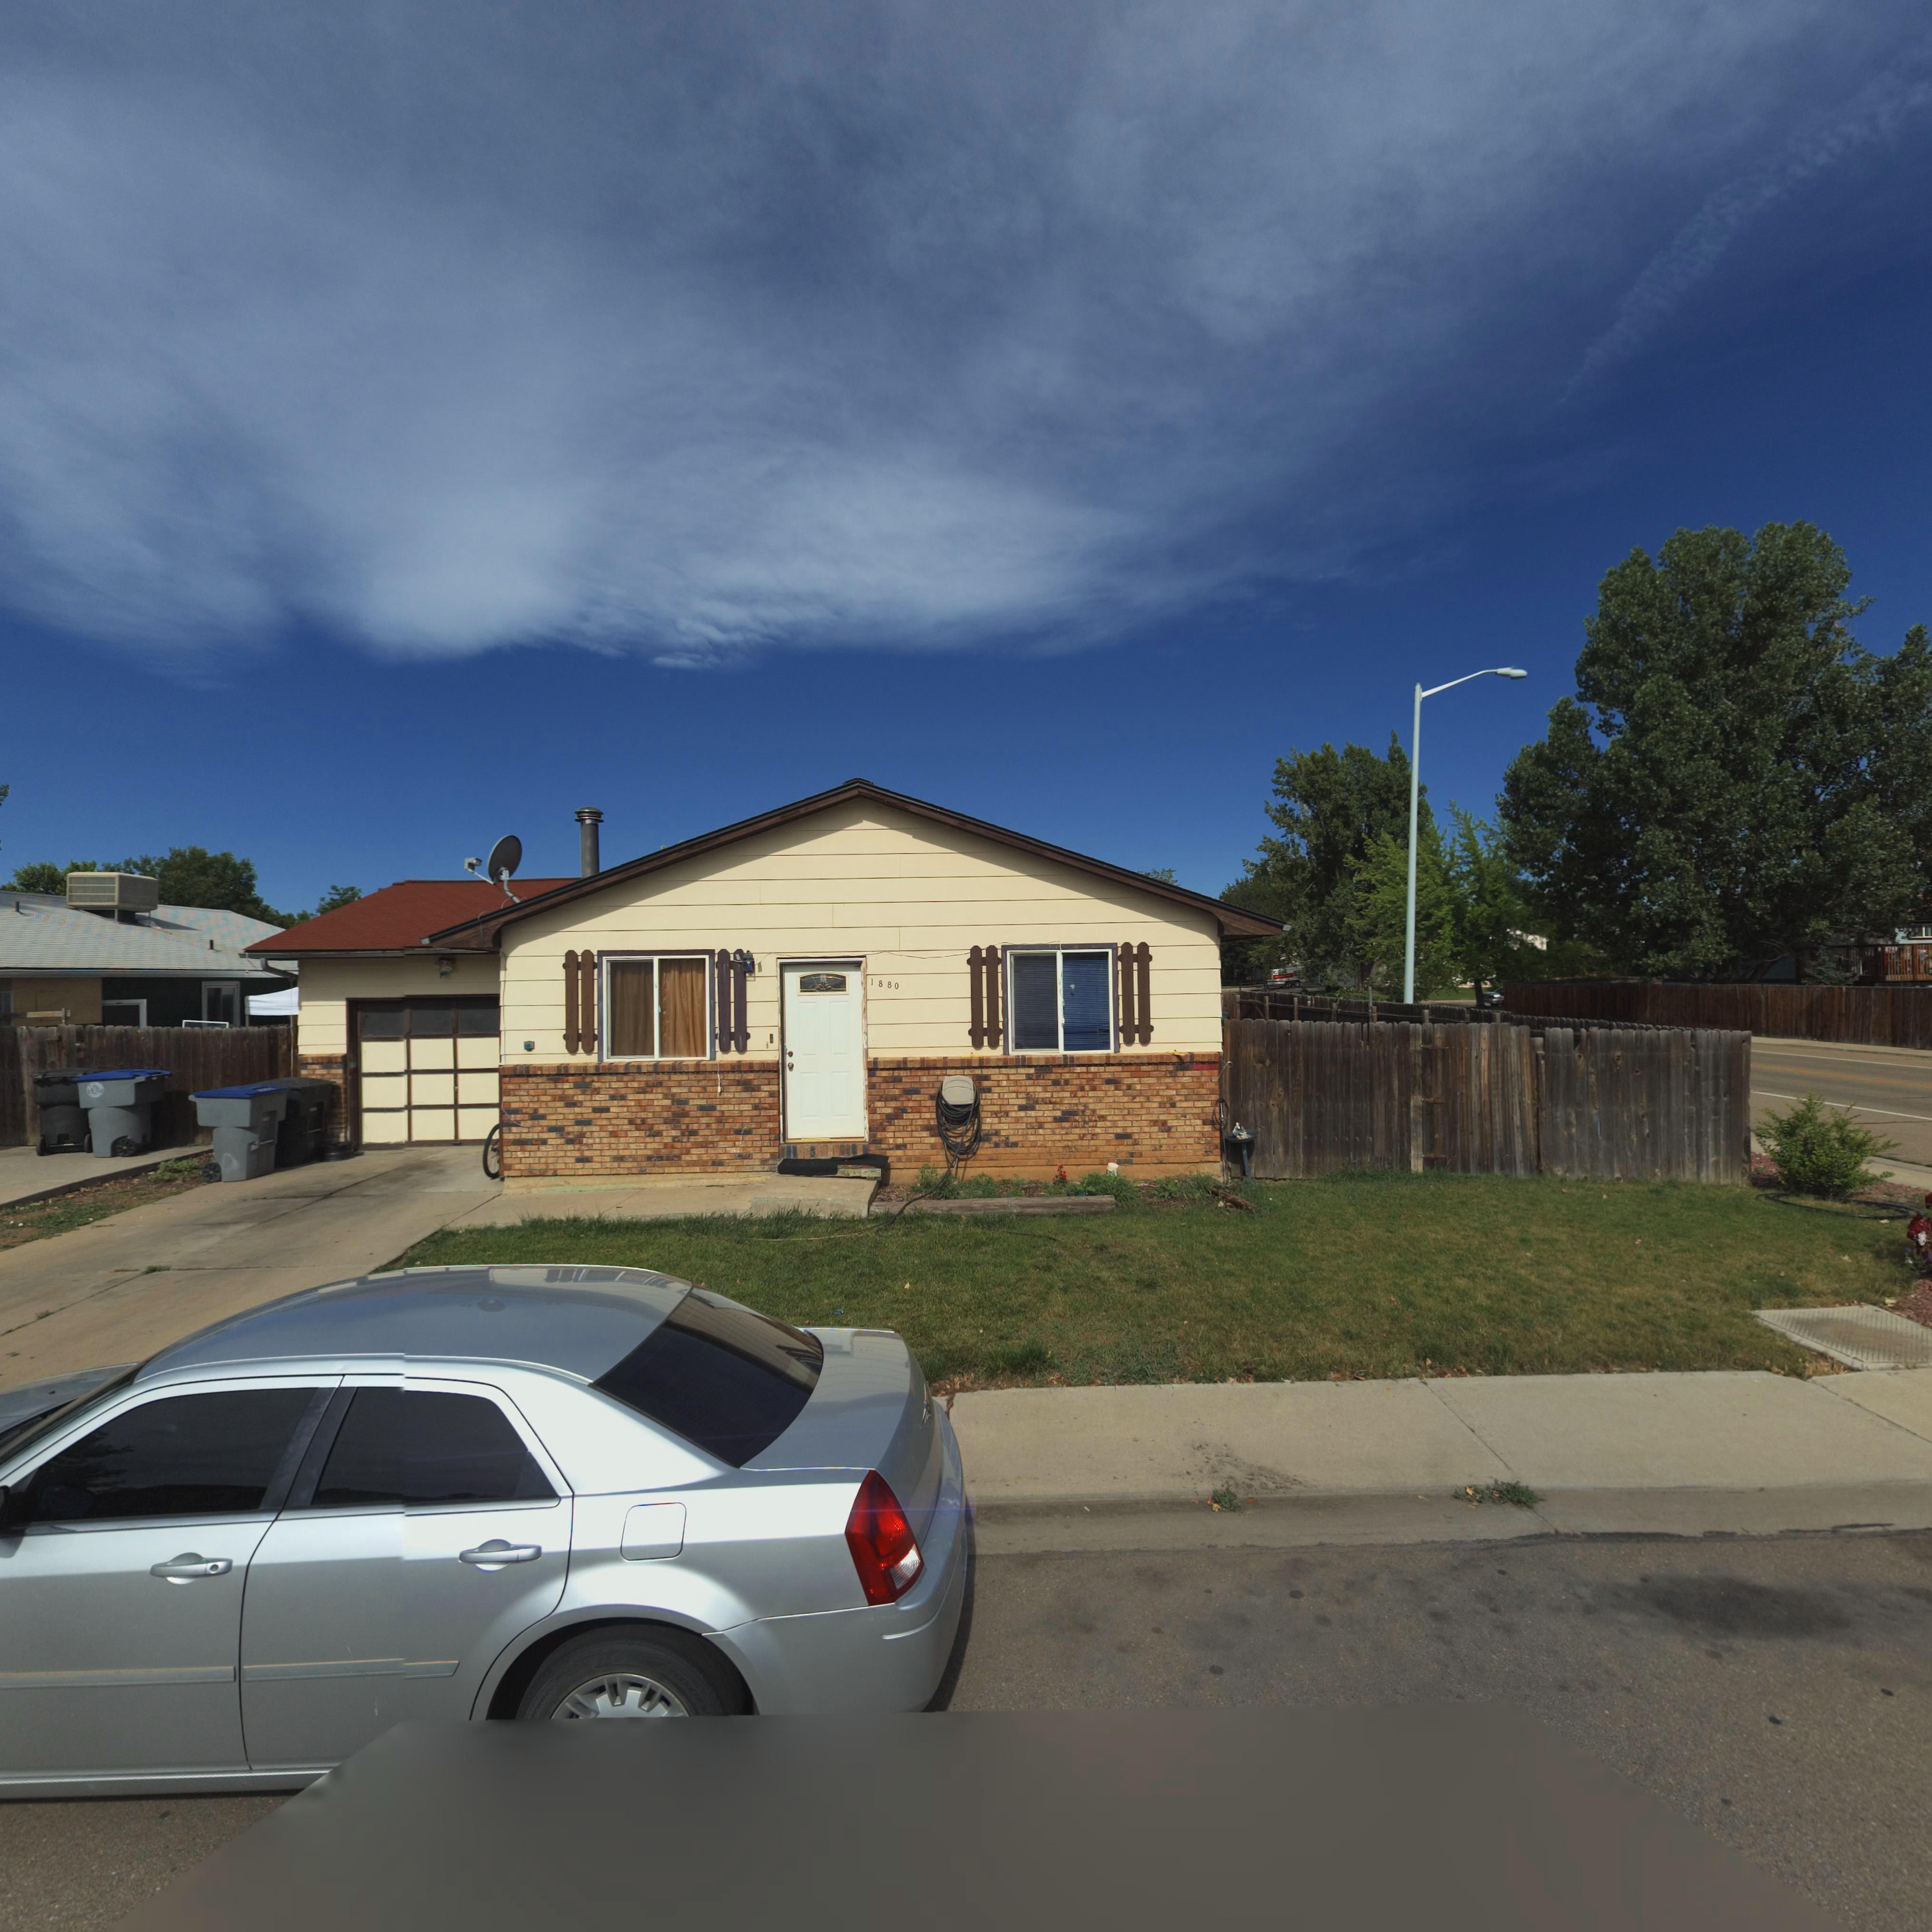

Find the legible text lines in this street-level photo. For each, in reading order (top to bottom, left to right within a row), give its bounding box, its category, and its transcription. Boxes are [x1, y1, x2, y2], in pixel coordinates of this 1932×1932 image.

[870, 977, 899, 990] StreetNumber: 1880